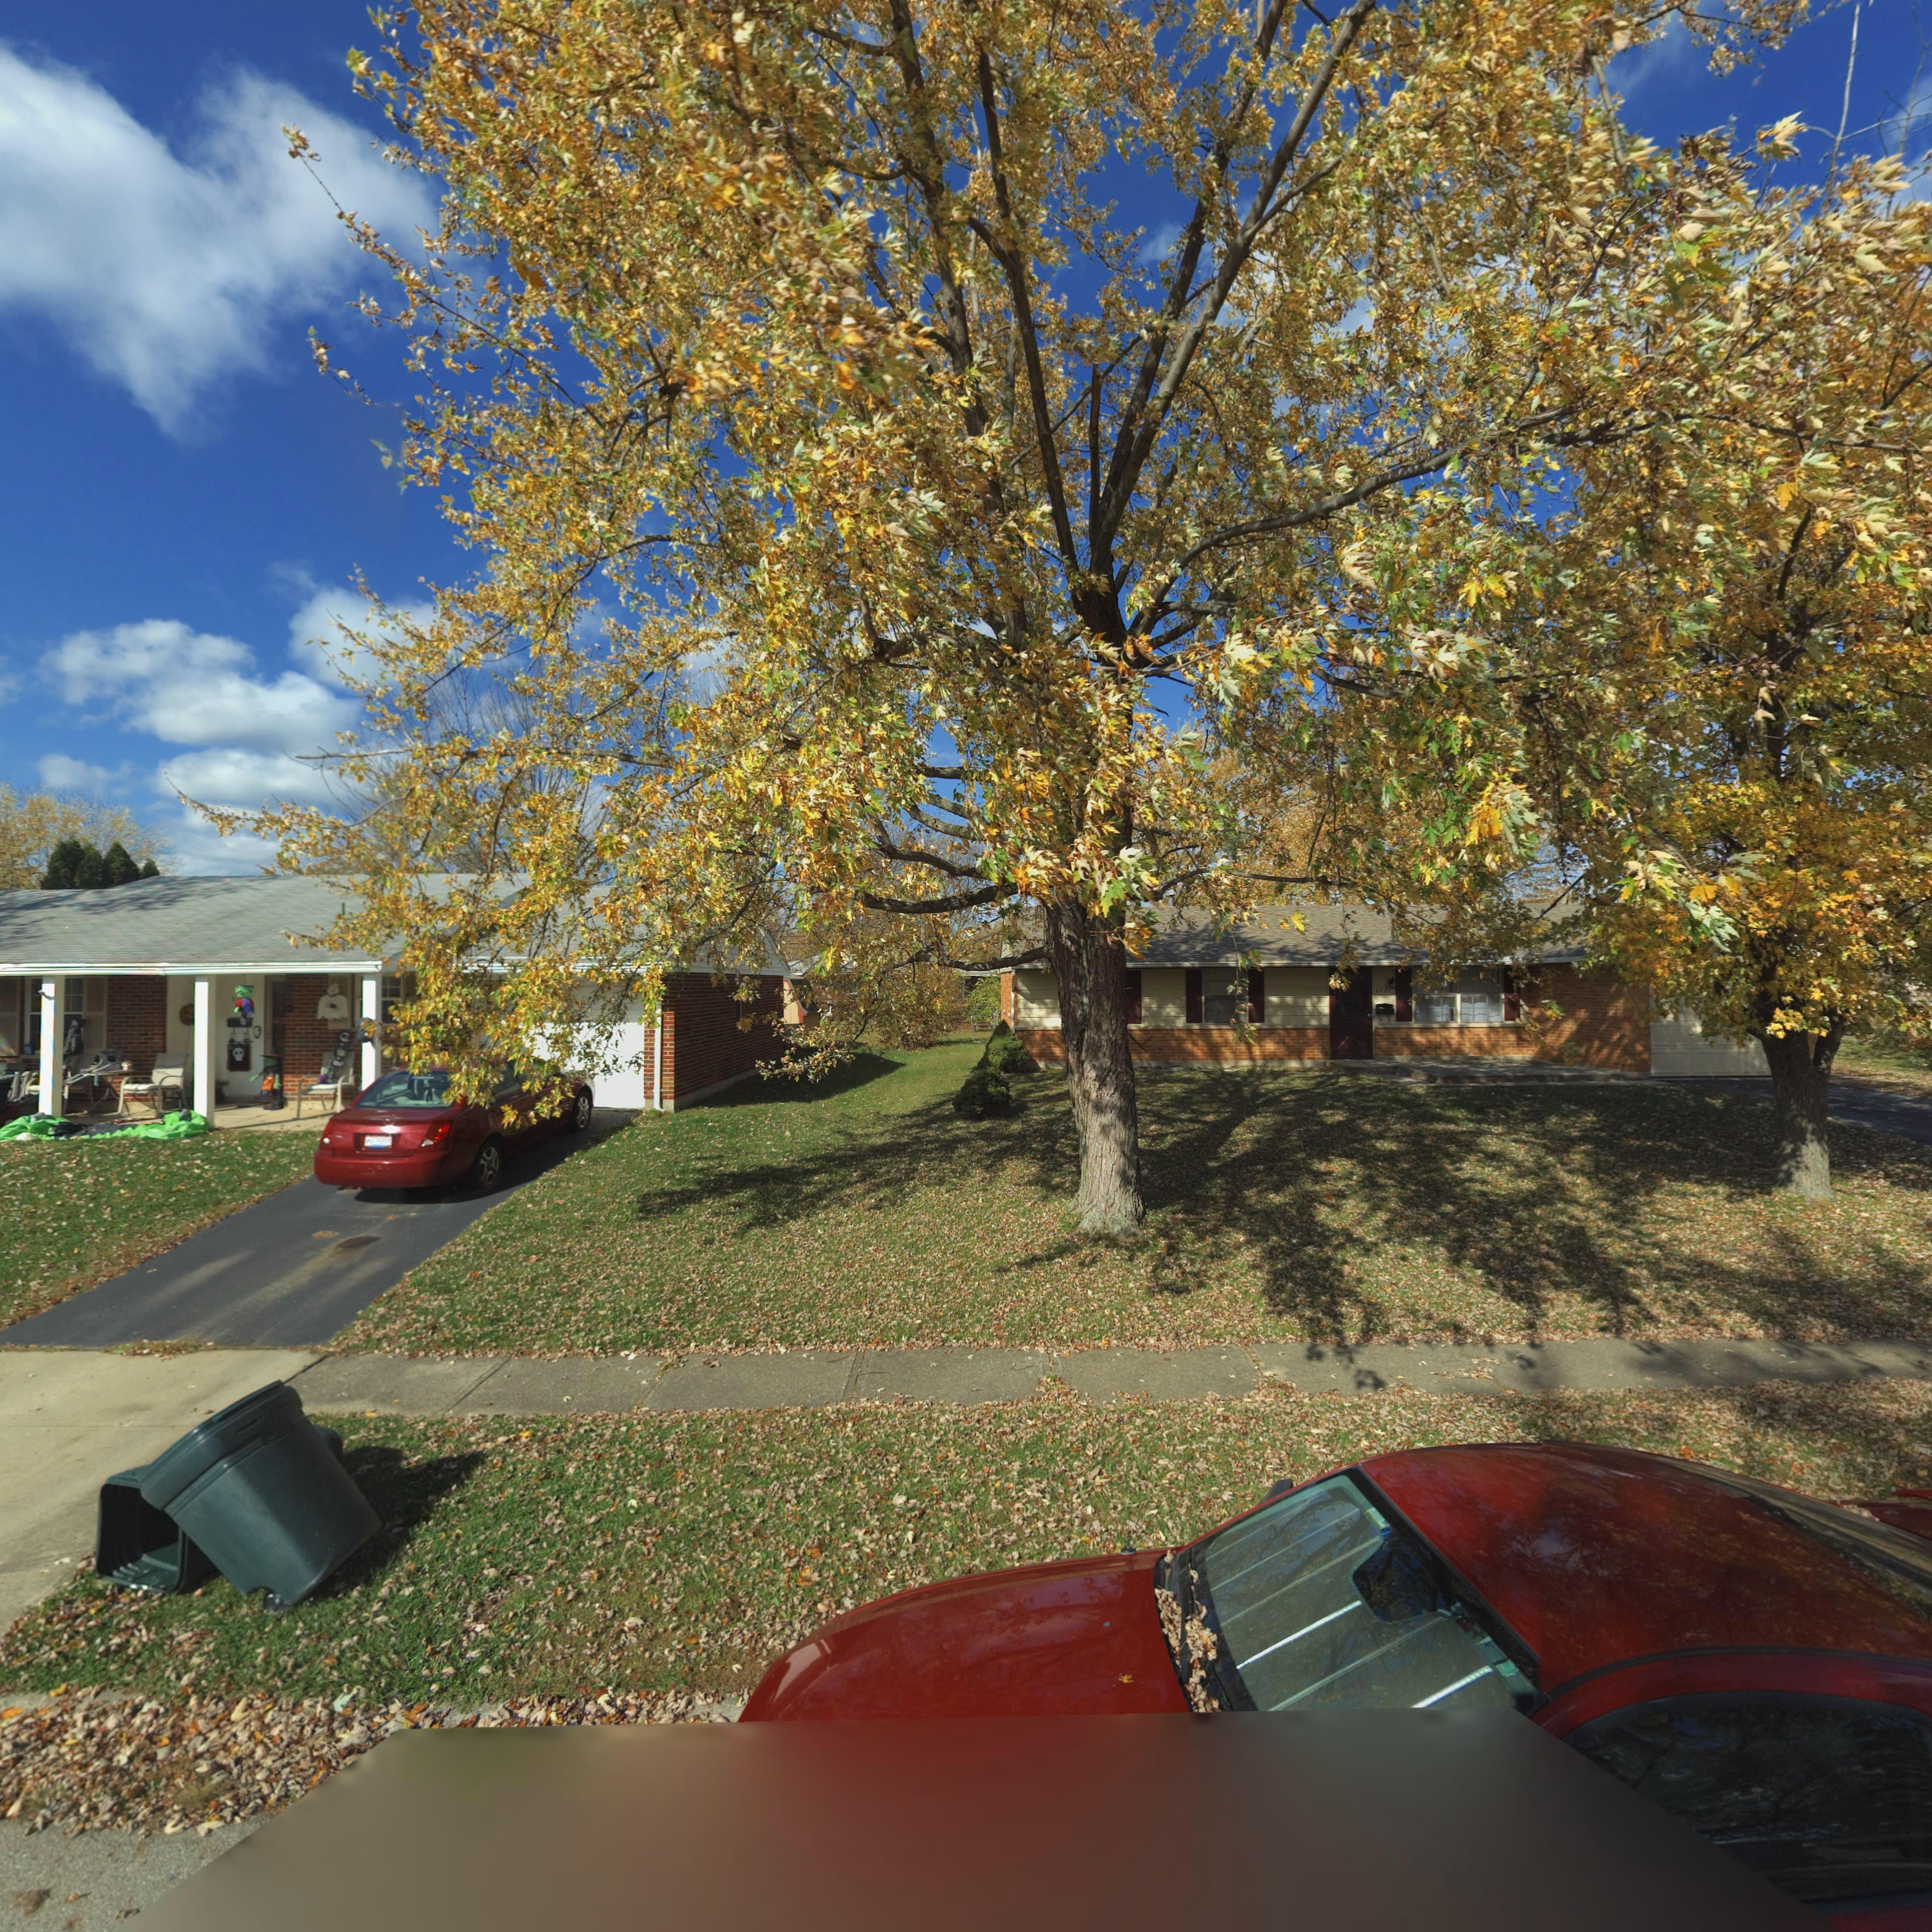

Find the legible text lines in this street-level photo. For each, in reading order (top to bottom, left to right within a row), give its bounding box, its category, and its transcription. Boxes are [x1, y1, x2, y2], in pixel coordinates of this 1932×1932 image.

[1375, 987, 1391, 993] StreetNumber: 6721